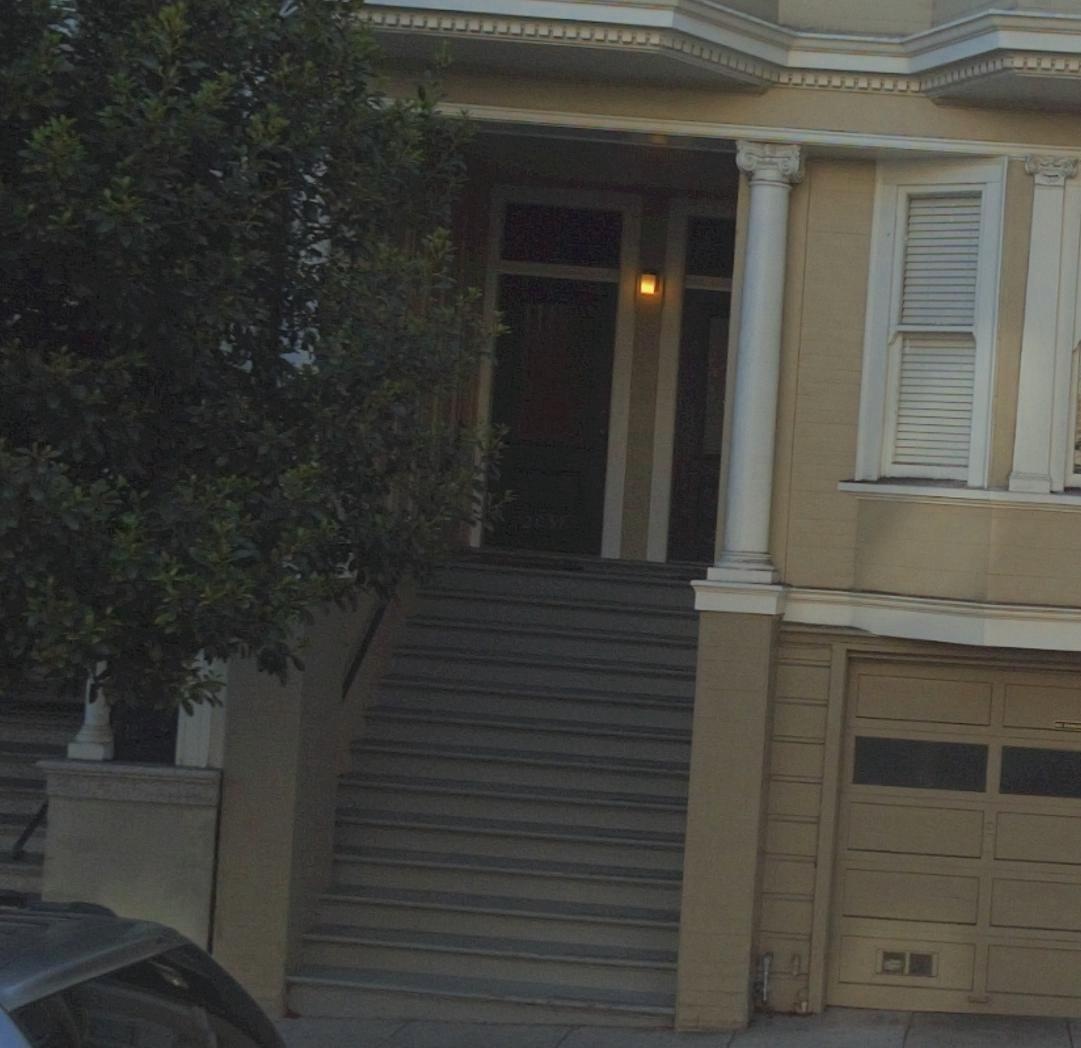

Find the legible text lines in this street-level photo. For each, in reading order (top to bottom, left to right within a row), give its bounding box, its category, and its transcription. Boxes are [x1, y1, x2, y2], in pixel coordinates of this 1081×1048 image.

[521, 512, 568, 532] StreetNumber: 2037